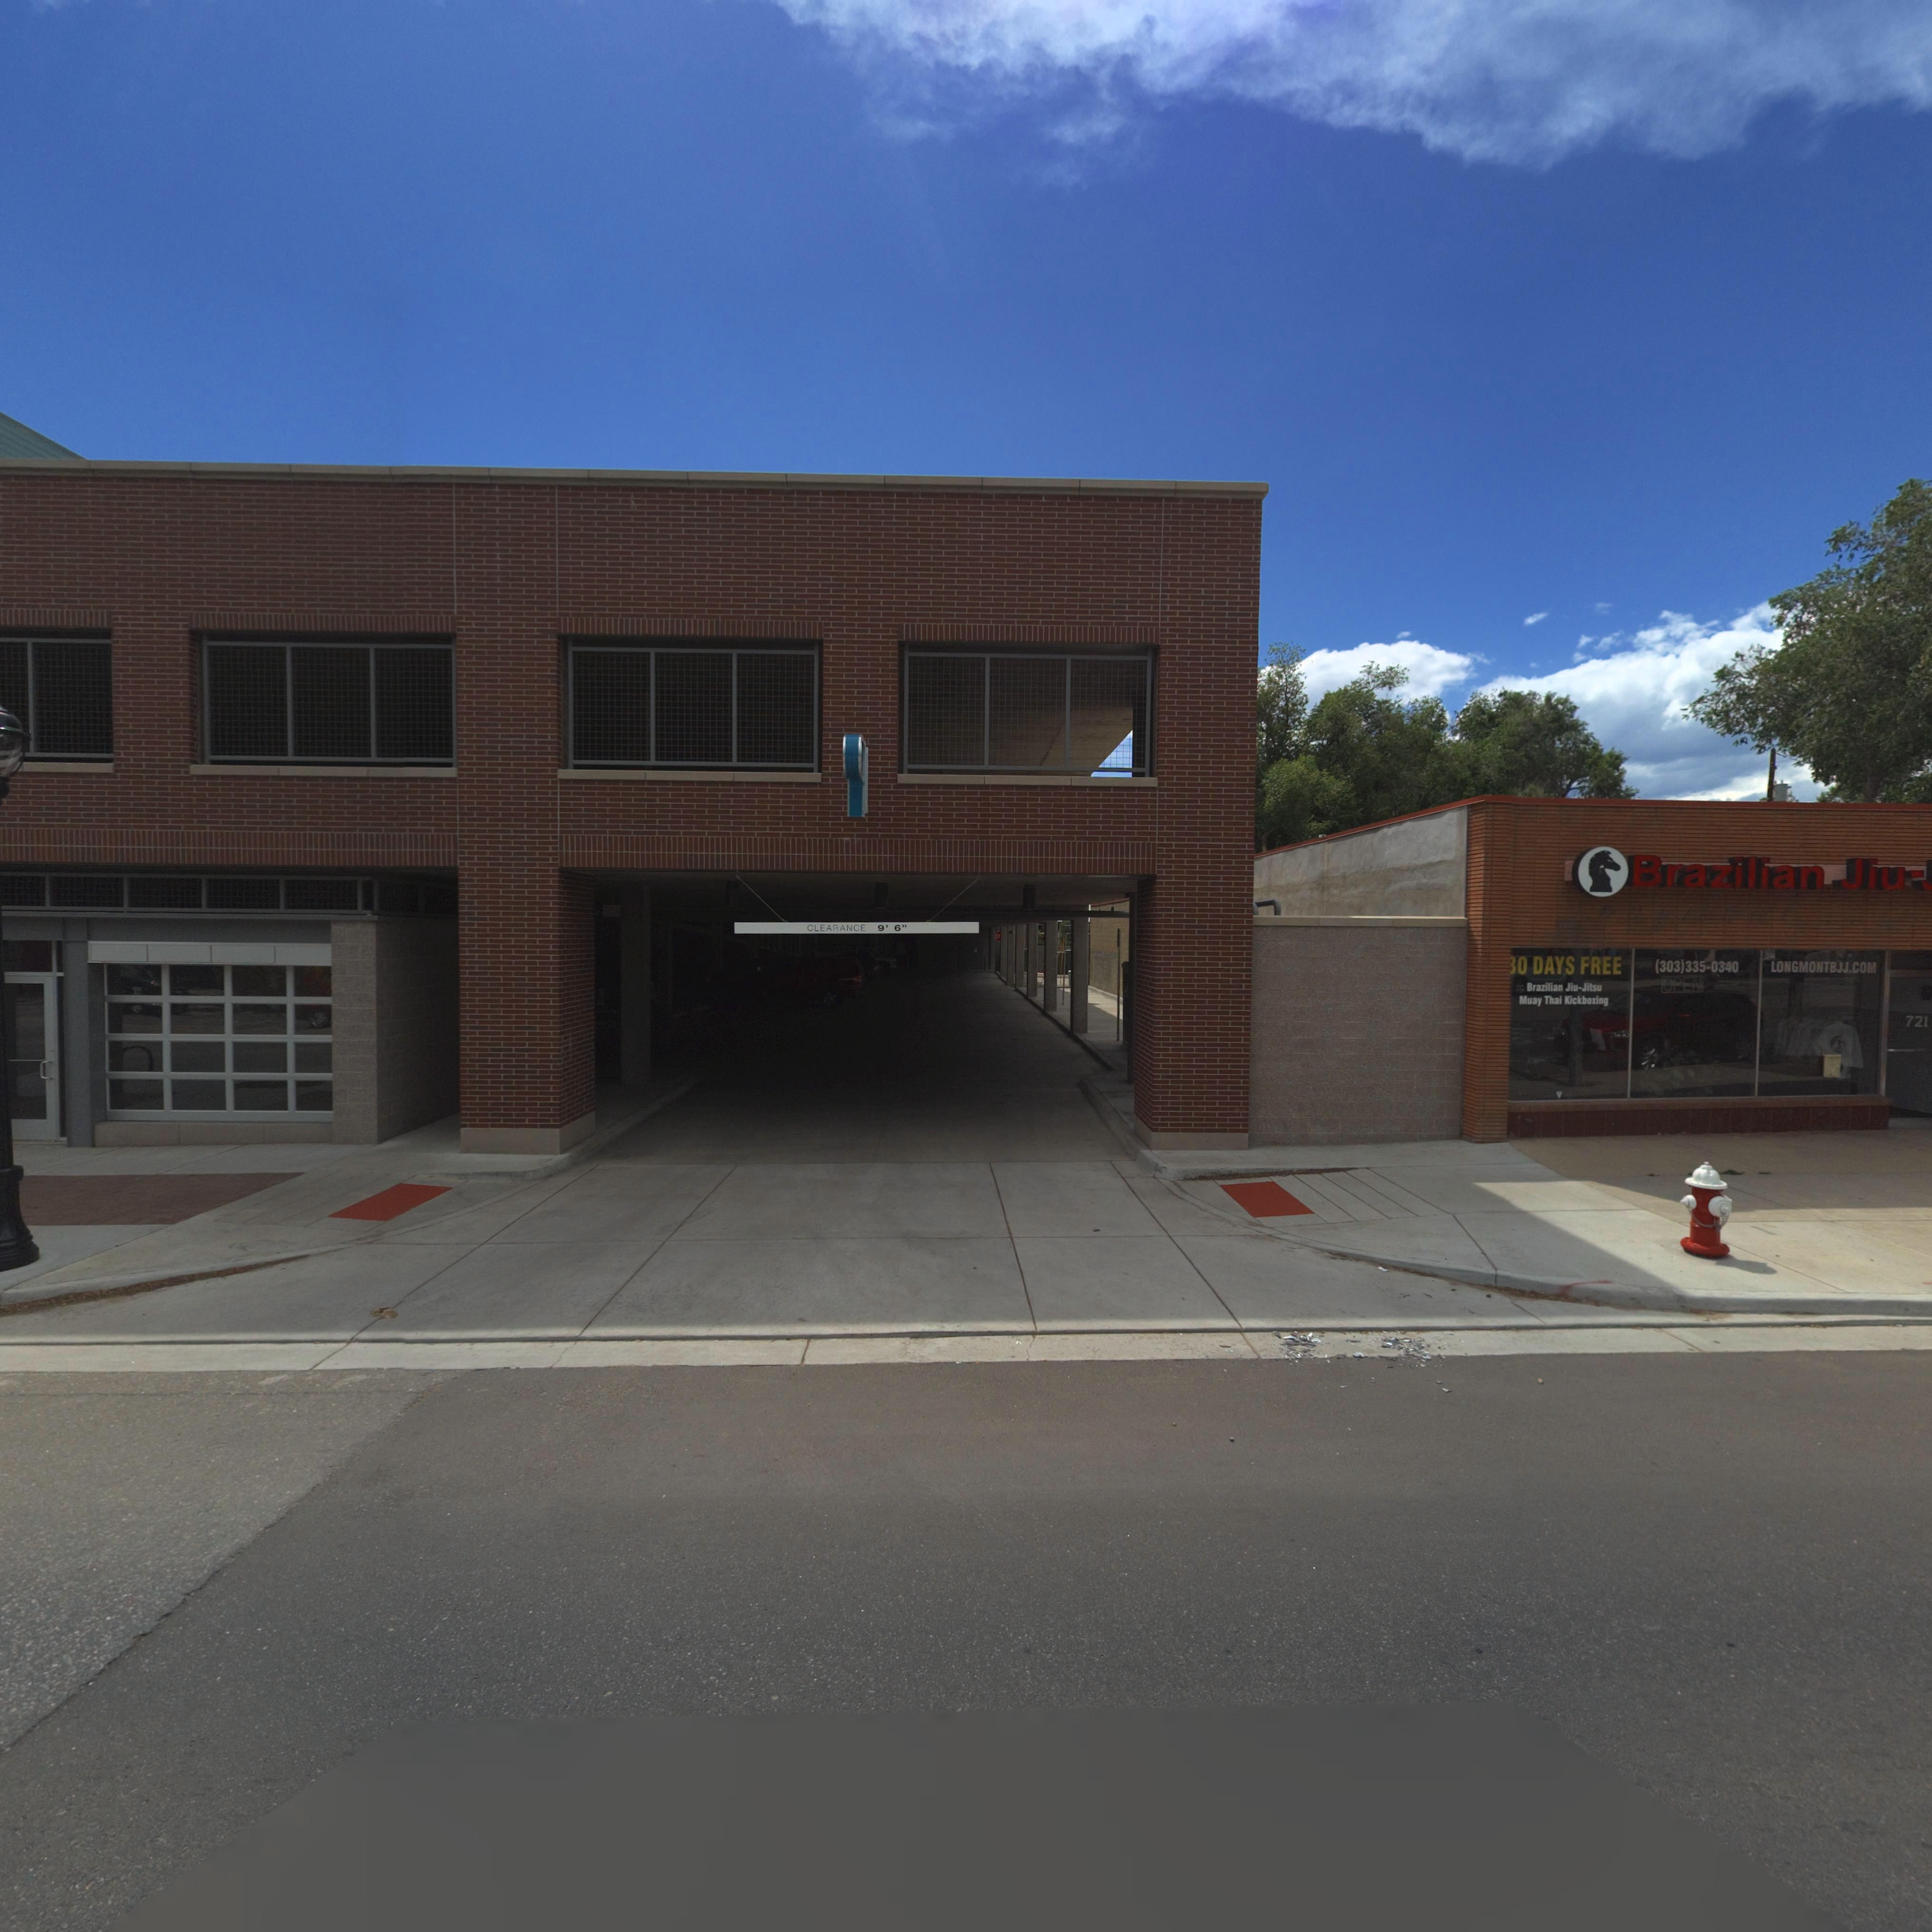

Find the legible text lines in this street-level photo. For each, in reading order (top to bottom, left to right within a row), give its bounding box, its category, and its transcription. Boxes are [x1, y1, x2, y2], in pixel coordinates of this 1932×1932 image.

[1632, 852, 1907, 891] BusinessName: Brazilian Jiu
[1905, 1014, 1929, 1028] StreetNumber: 721